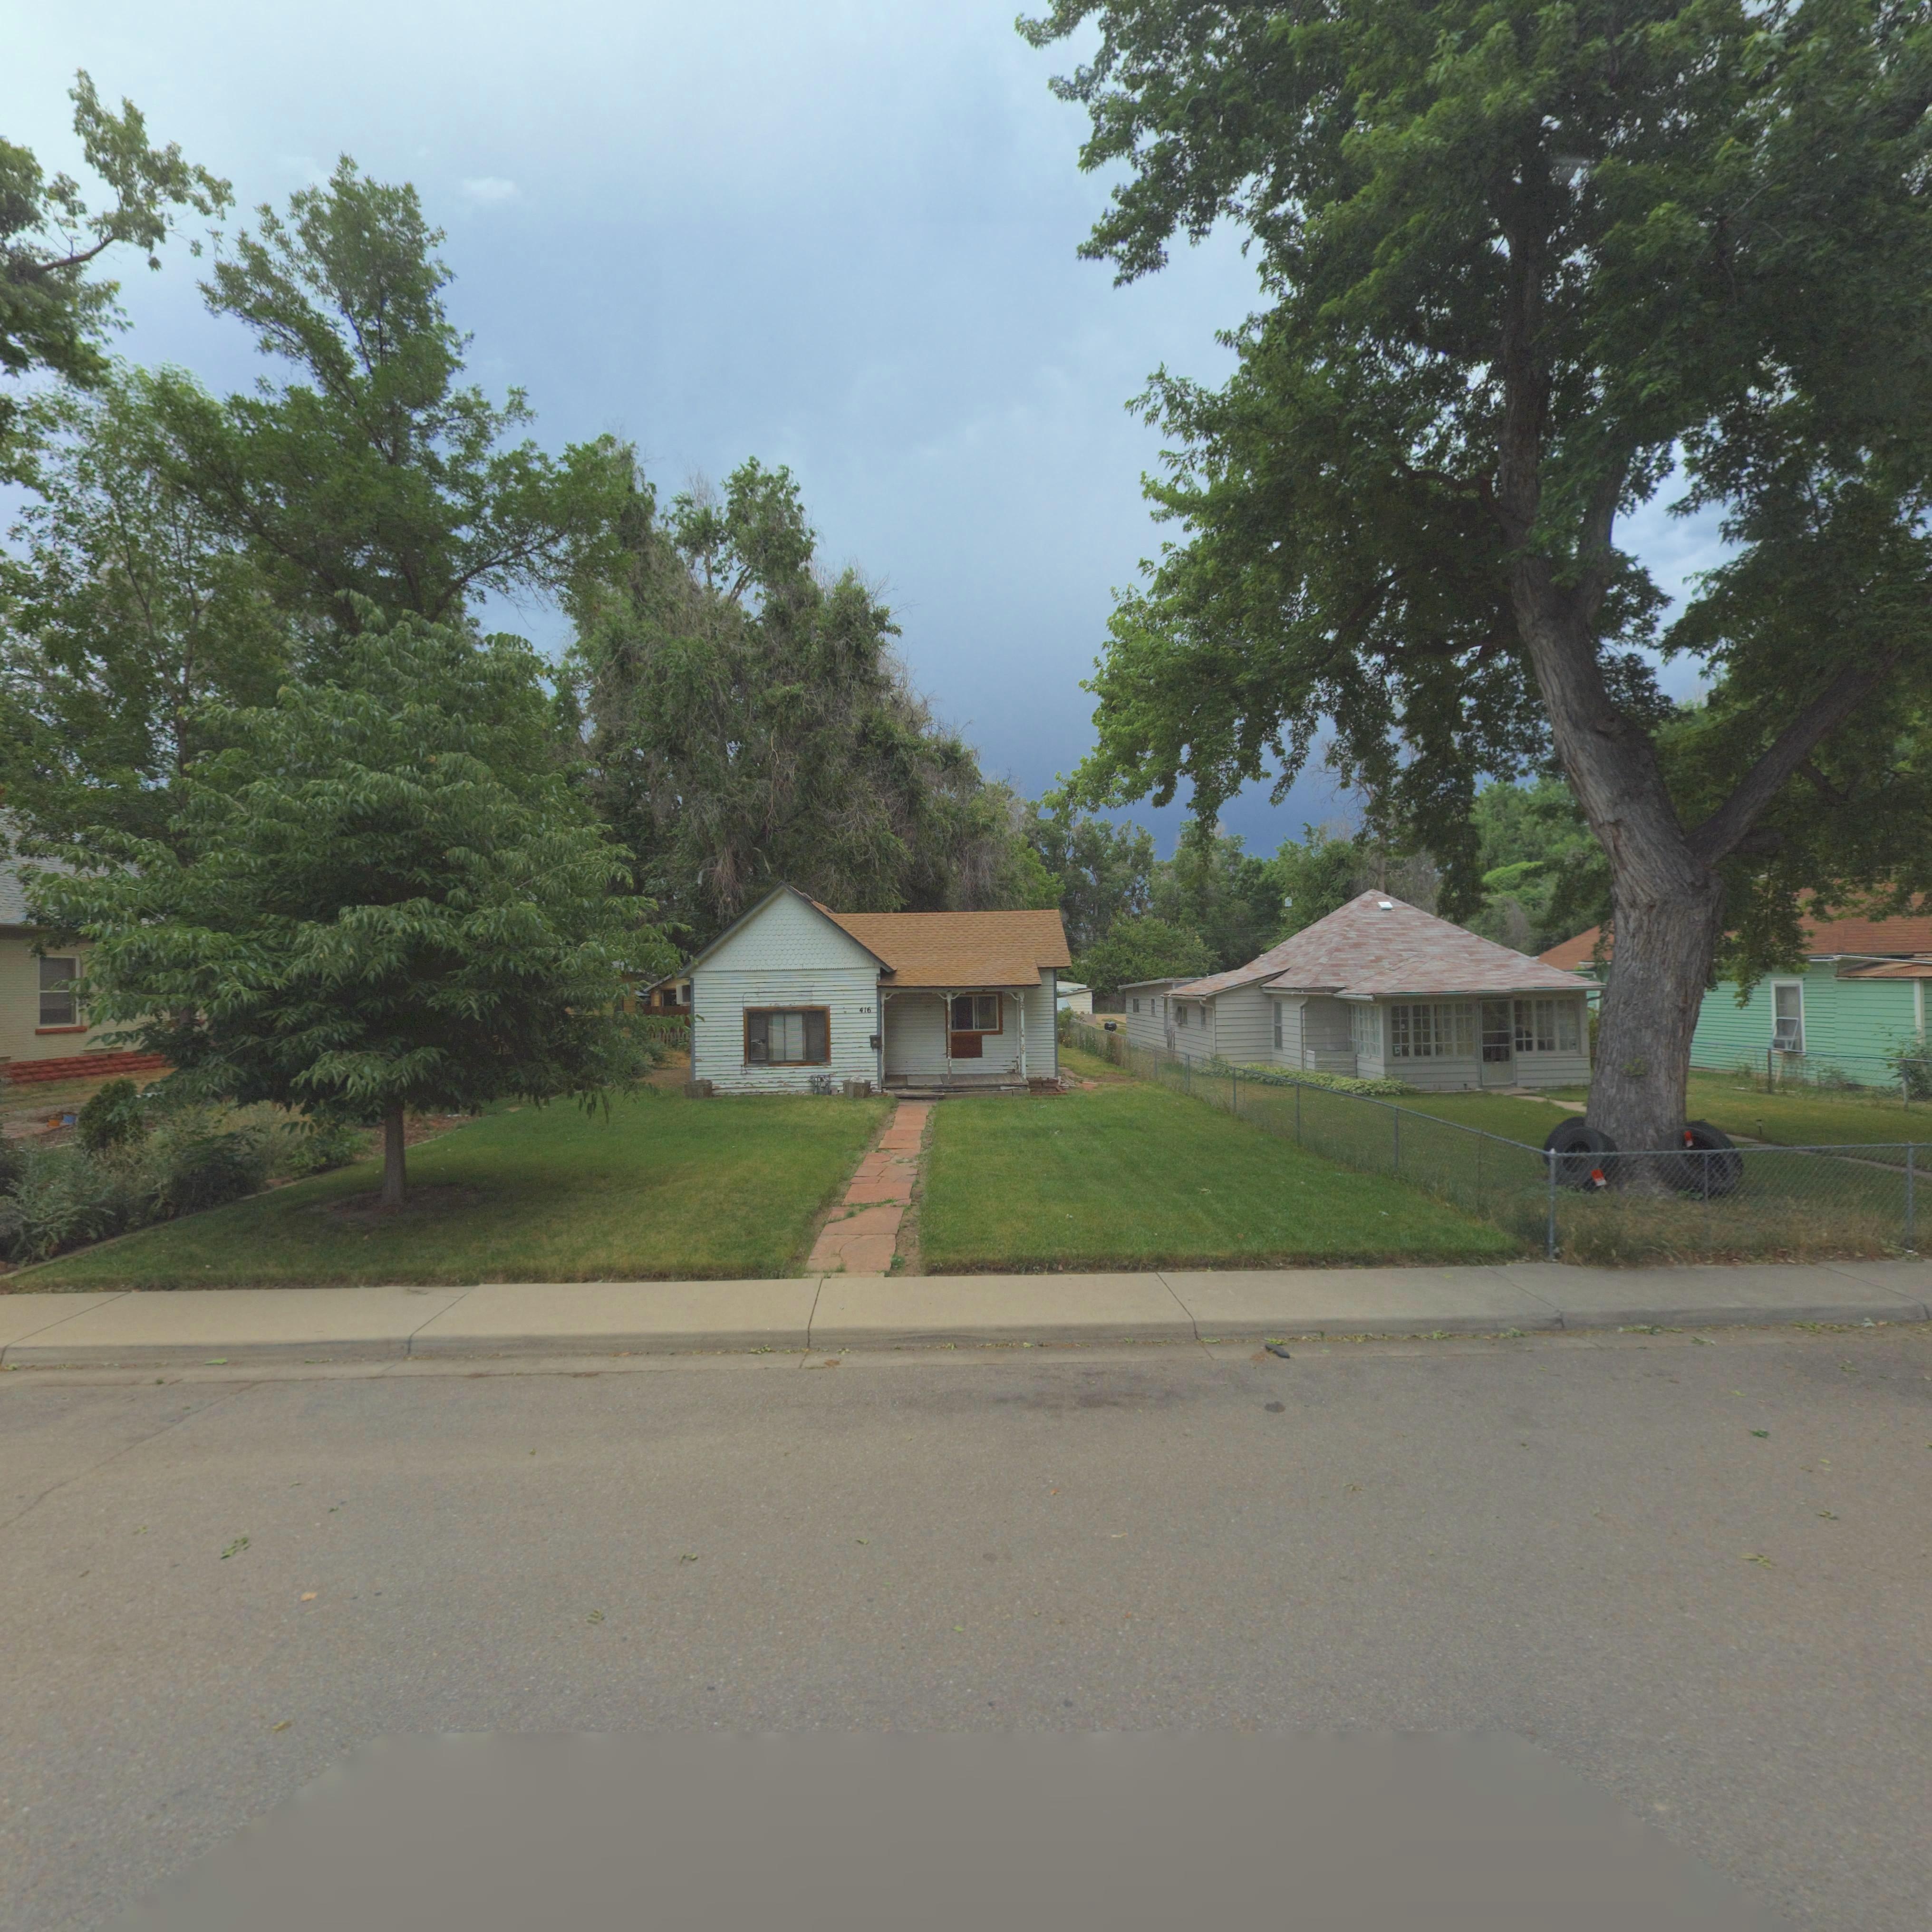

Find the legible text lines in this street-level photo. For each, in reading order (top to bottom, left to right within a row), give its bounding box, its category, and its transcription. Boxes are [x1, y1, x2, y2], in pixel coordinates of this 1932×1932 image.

[859, 1006, 871, 1013] StreetNumber: 416